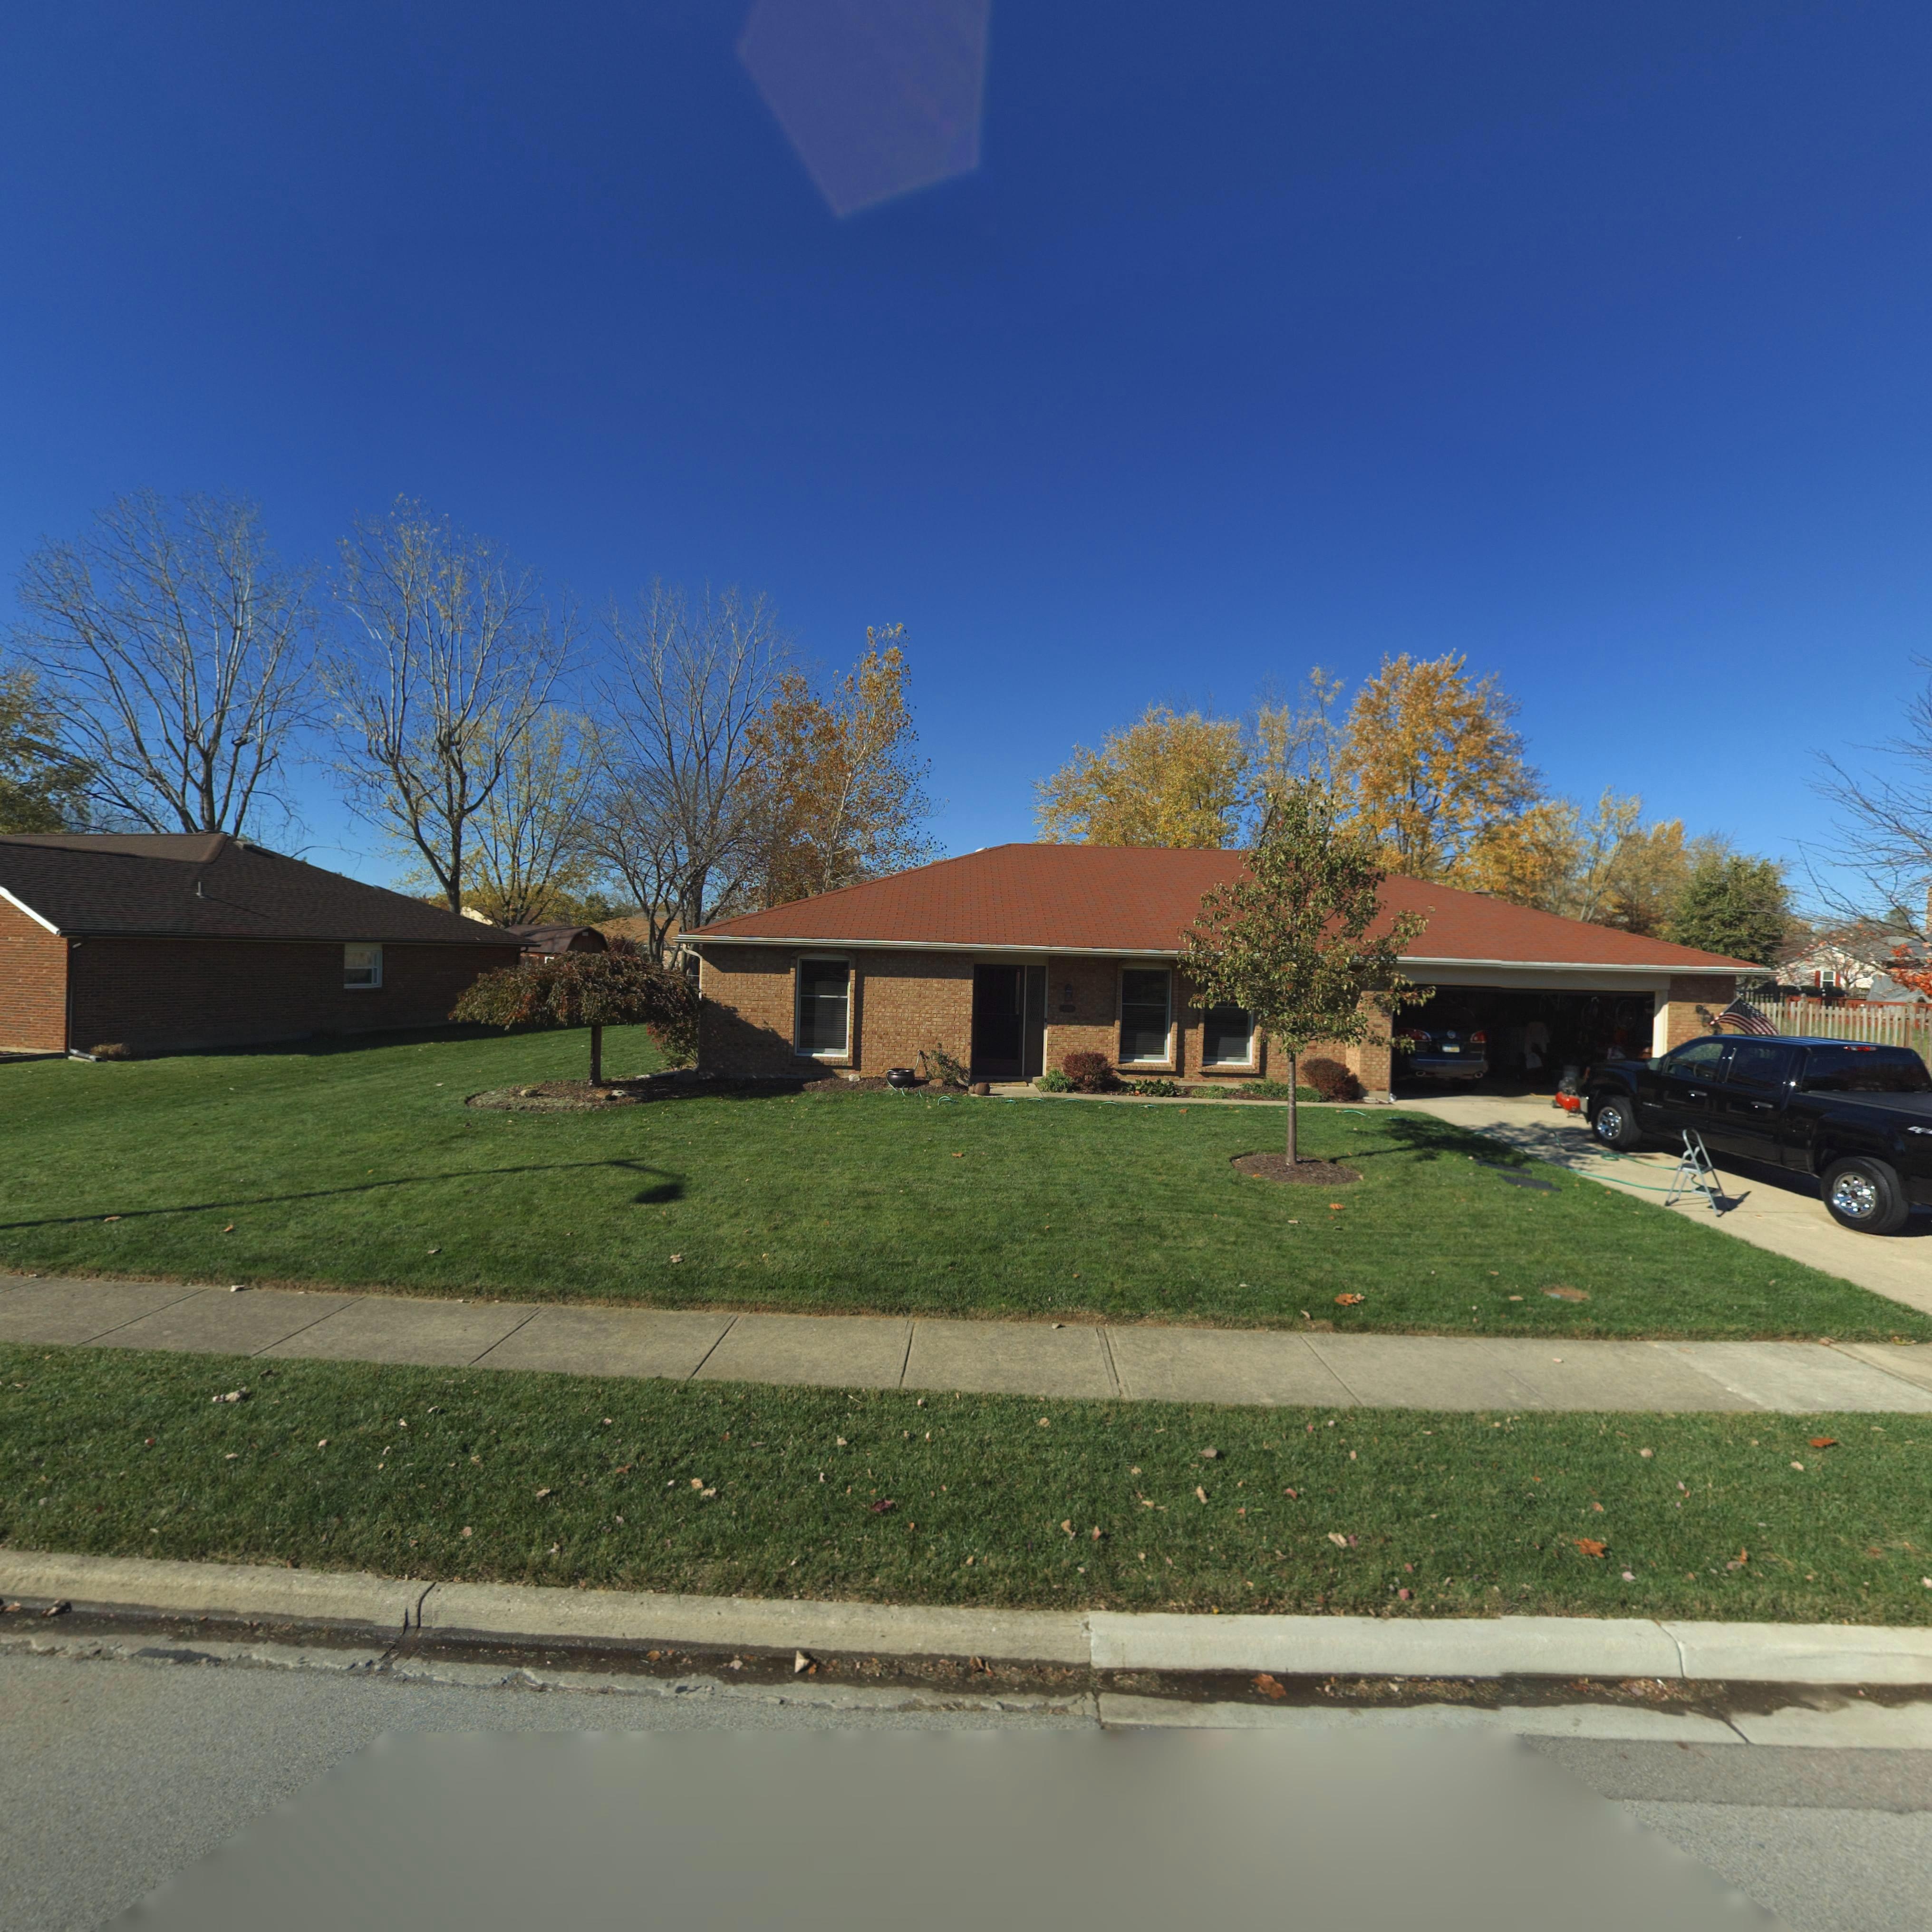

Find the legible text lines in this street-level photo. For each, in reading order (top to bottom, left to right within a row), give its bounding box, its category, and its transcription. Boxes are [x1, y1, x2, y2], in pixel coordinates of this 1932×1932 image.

[1062, 1005, 1073, 1012] StreetNumber: 4***